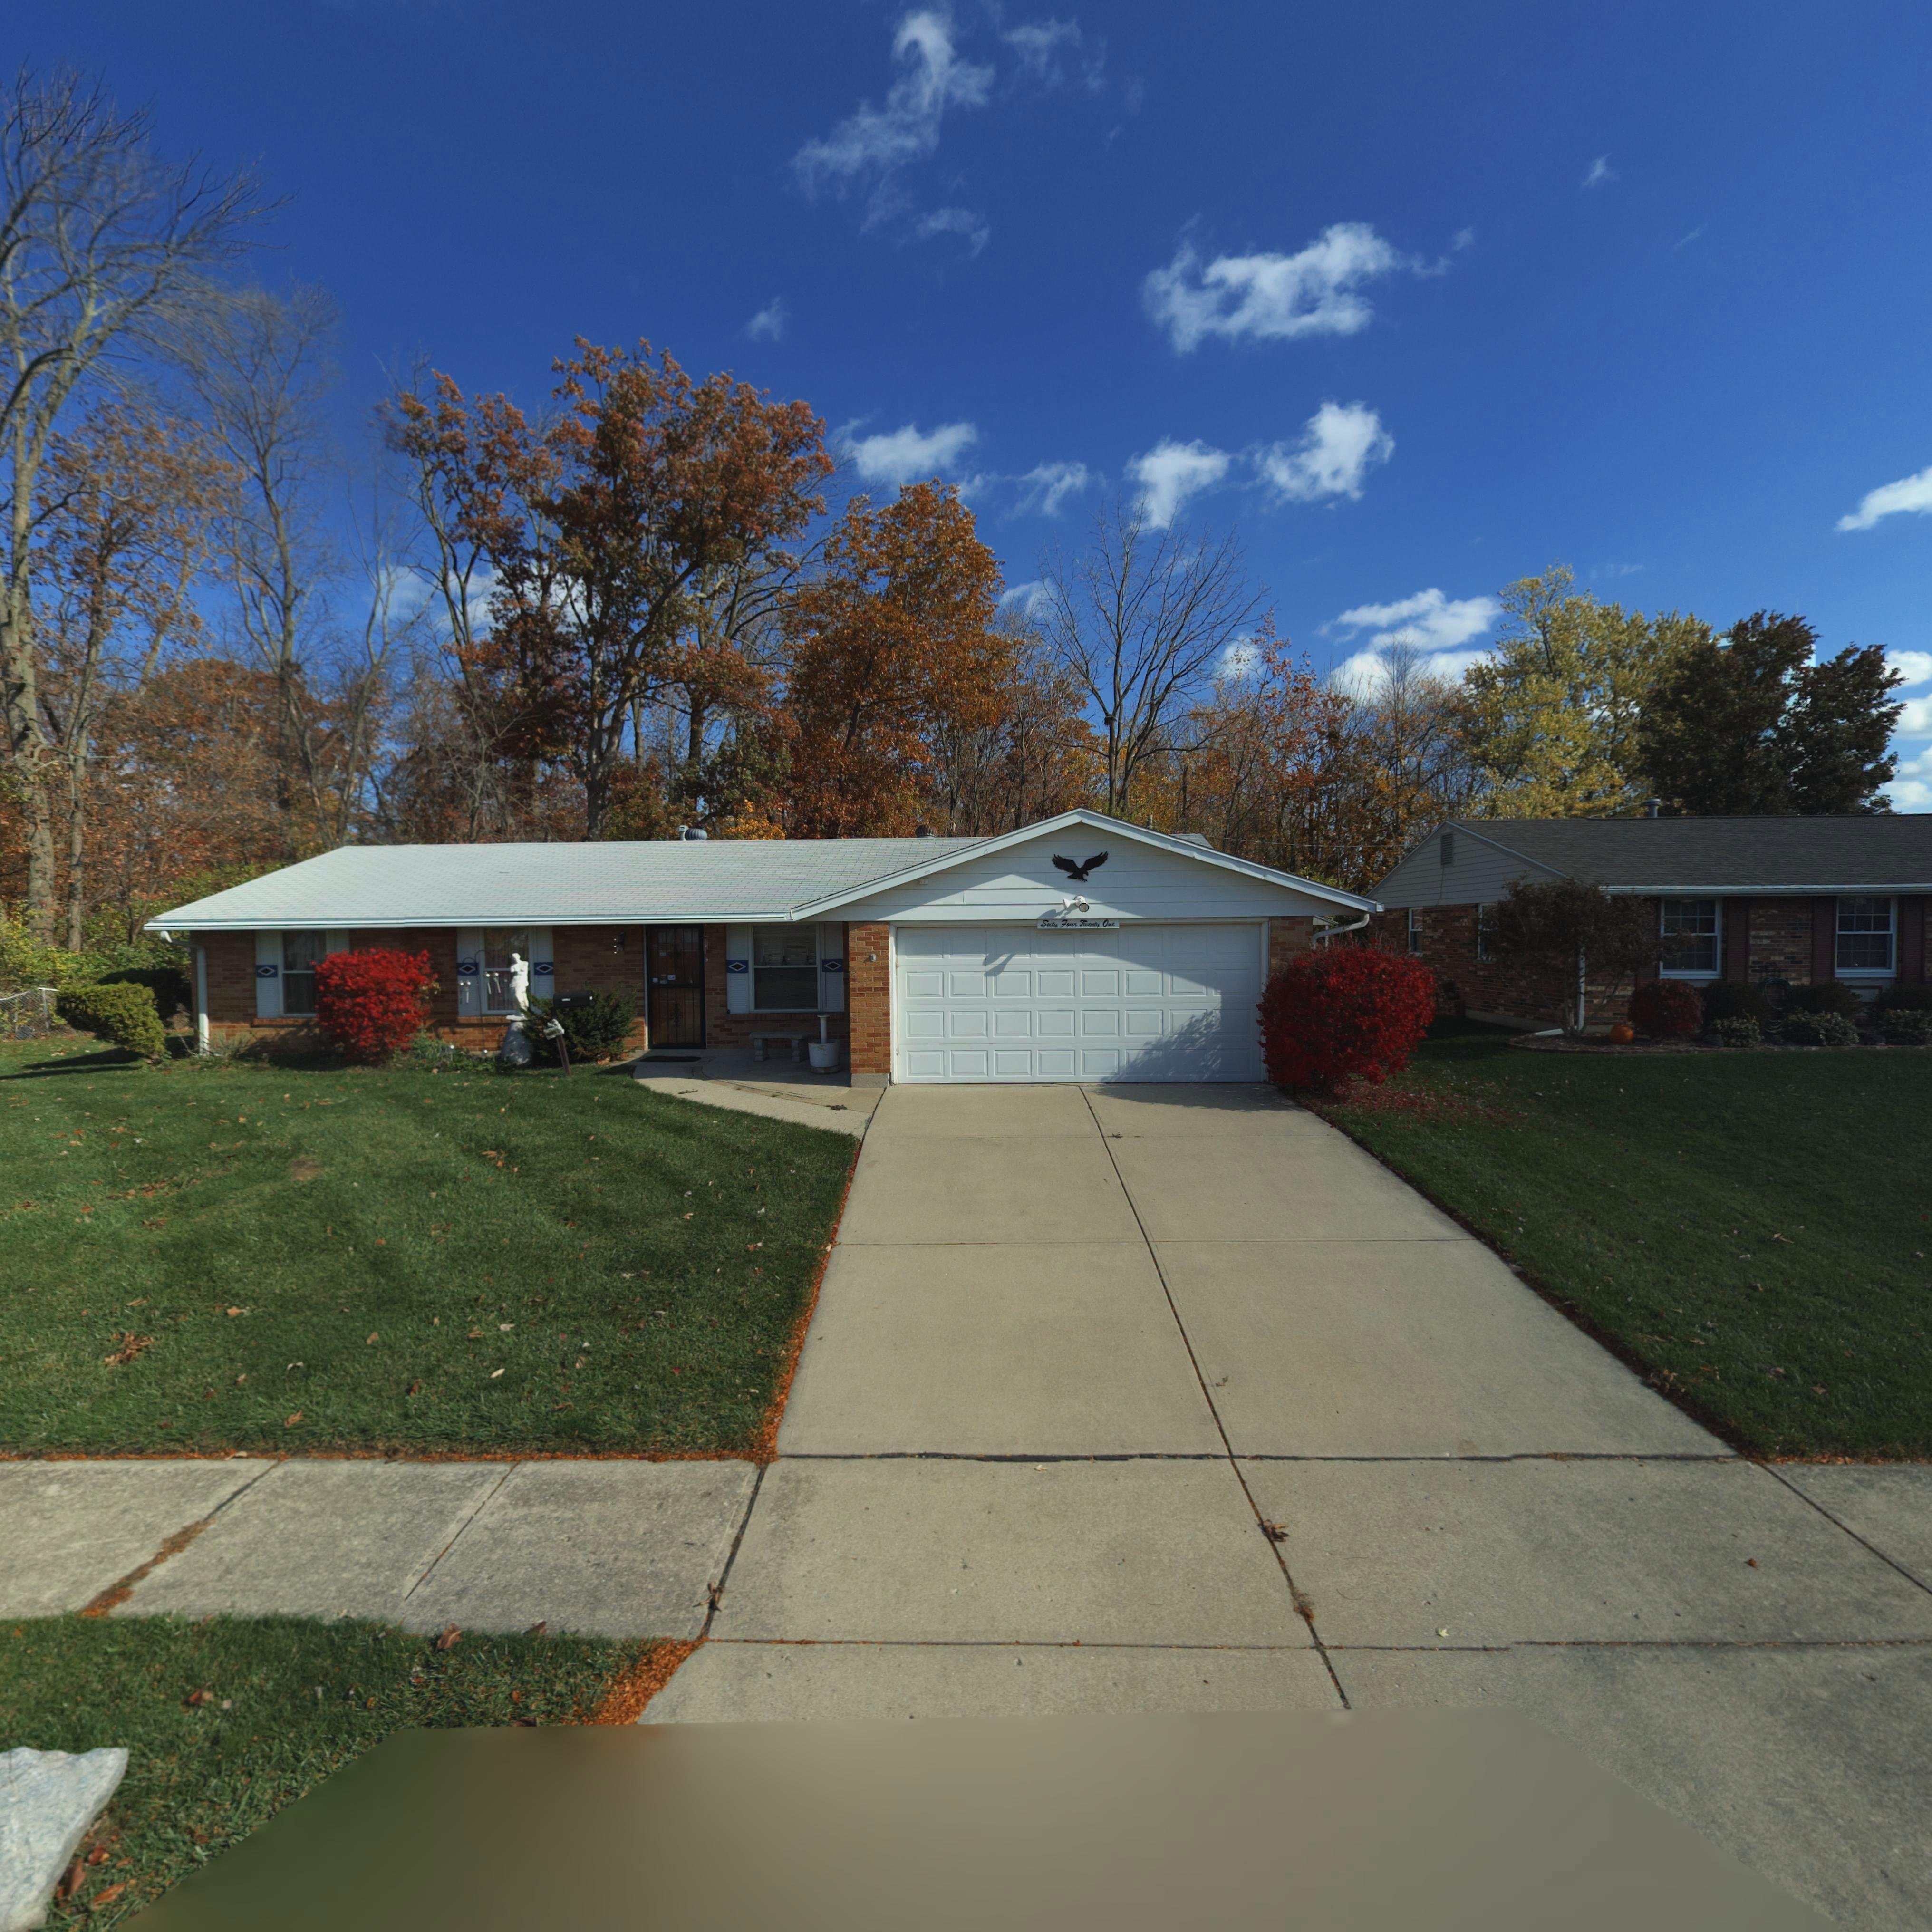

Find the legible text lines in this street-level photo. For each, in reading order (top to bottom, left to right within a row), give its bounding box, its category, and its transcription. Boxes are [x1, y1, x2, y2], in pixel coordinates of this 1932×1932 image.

[1039, 918, 1116, 928] StreetNumber: Sixty Four Twenty One
[546, 1029, 557, 1037] StreetNumber: 6421